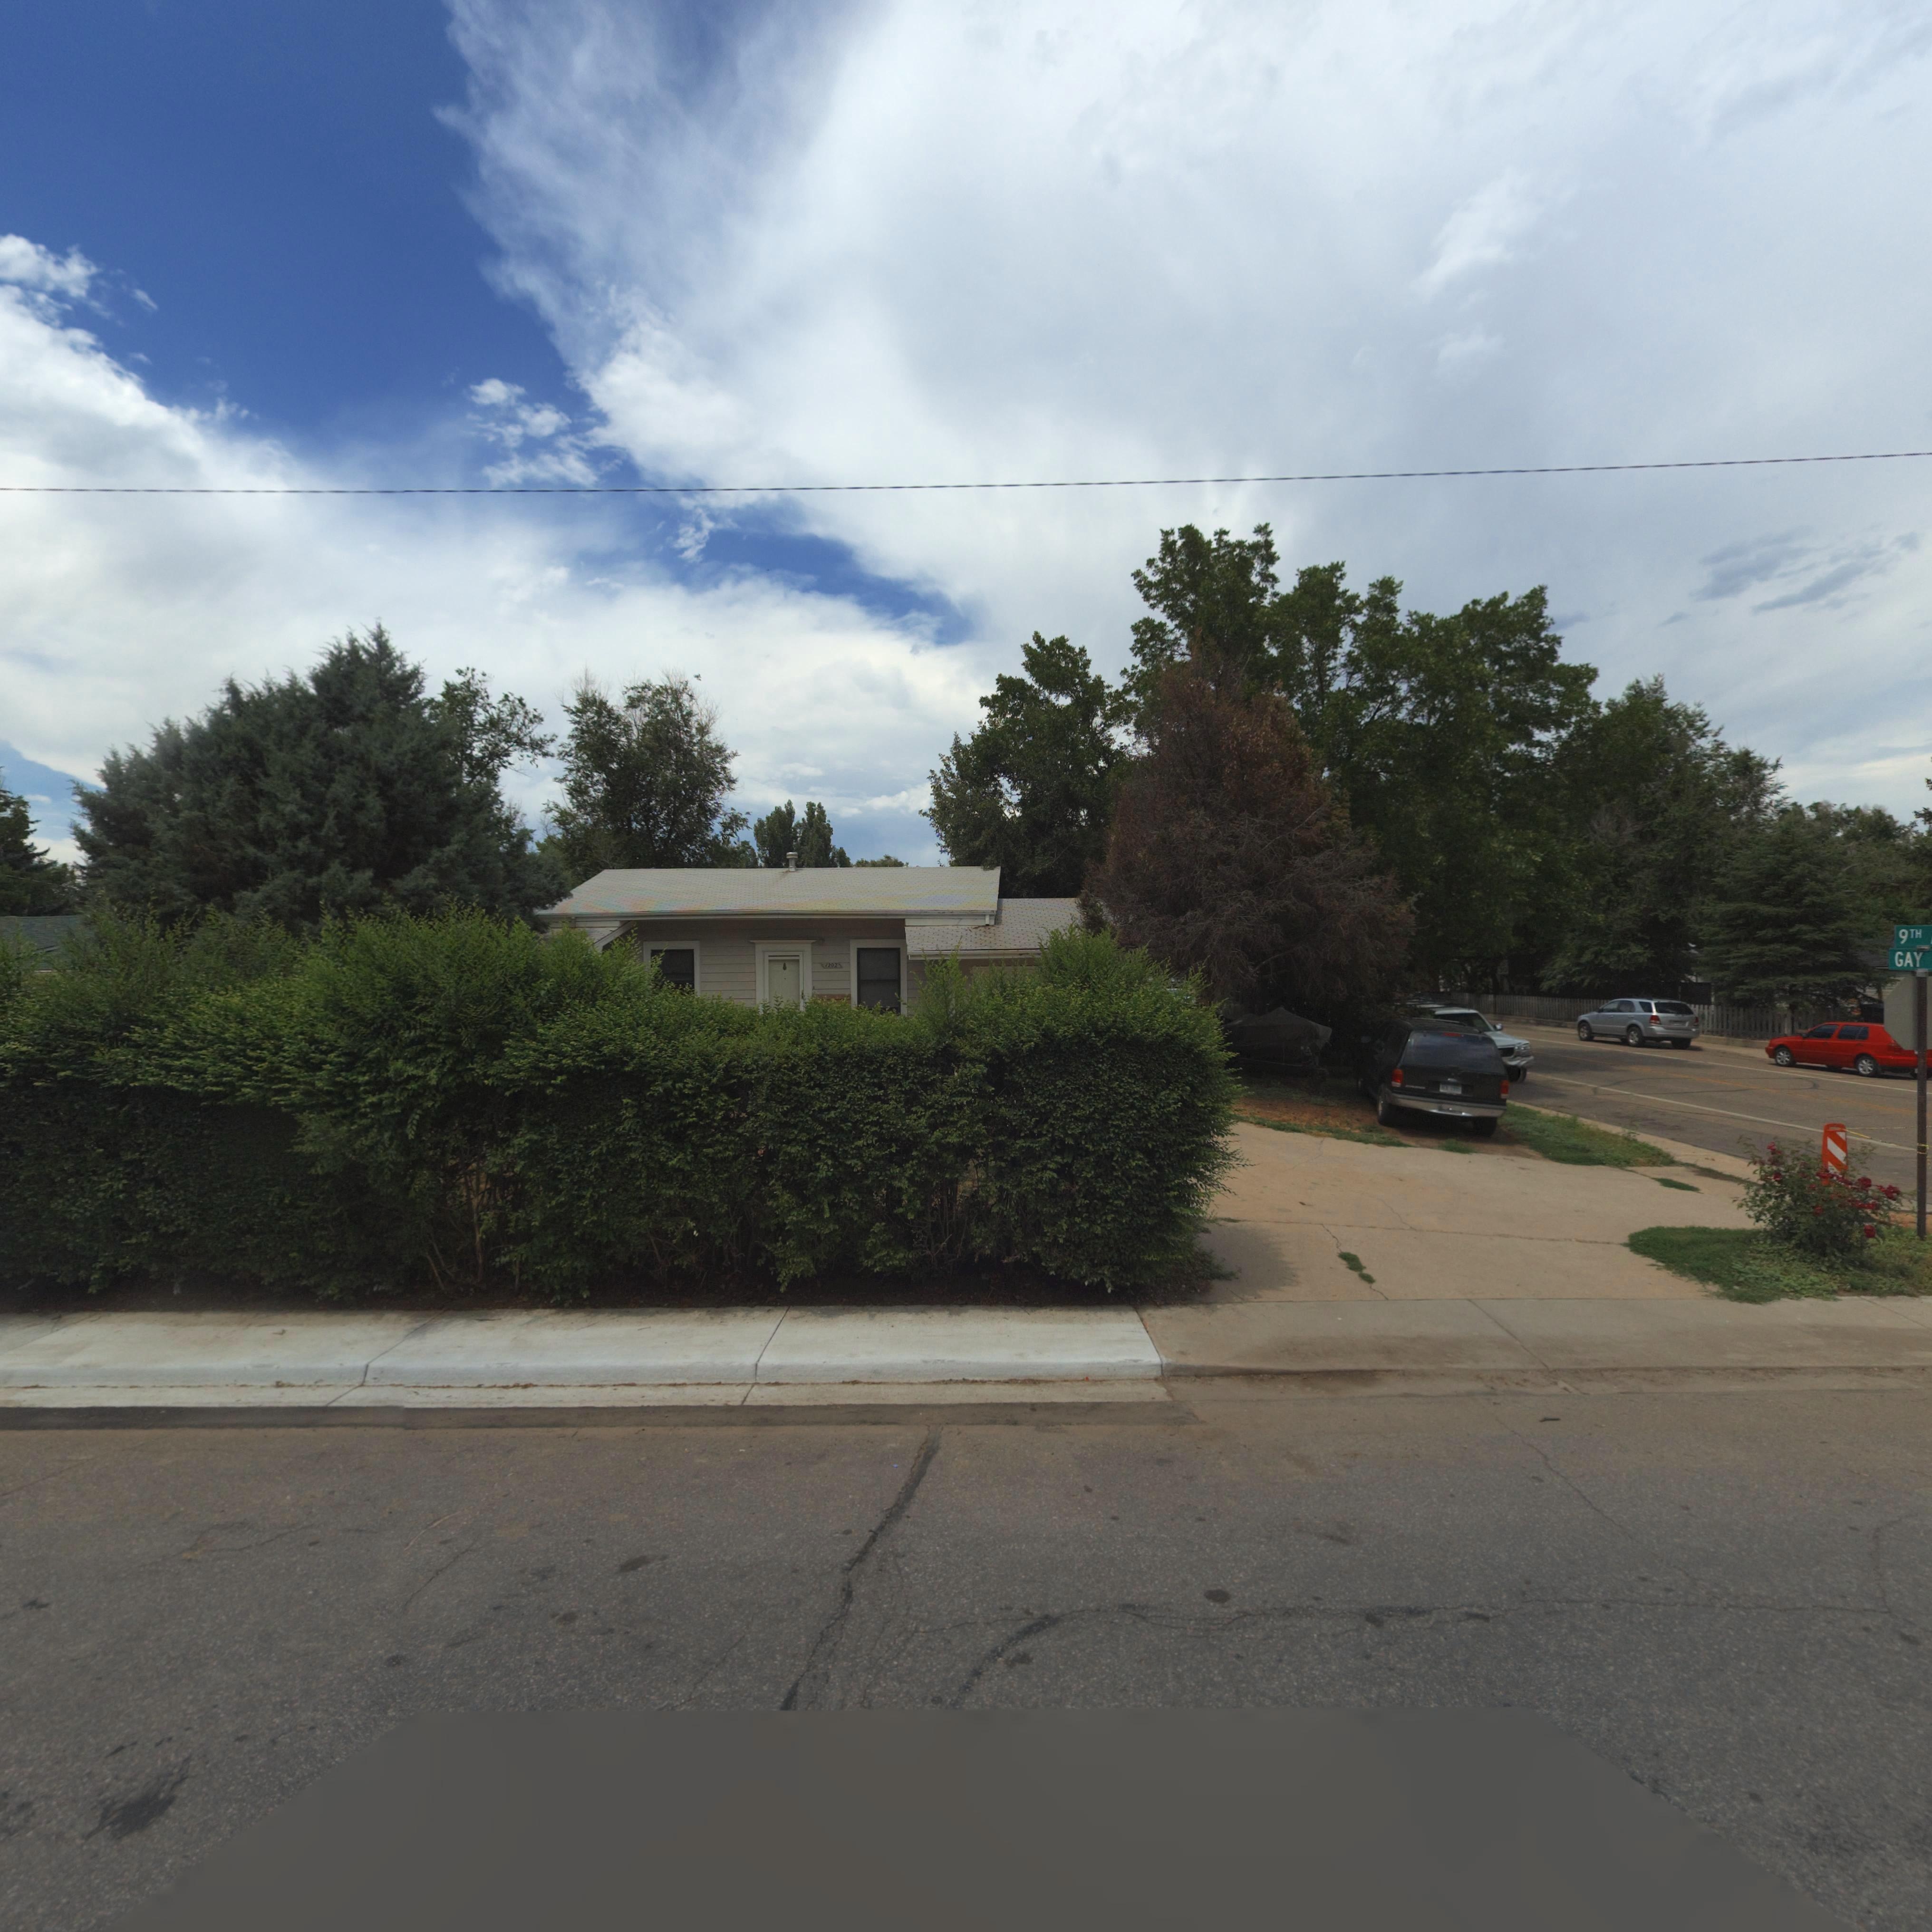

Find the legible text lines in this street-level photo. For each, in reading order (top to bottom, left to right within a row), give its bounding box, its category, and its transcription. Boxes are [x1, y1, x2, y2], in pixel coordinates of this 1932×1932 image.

[1898, 928, 1922, 945] StreetName: 9TH
[825, 963, 838, 967] StreetNumber: 1202
[1893, 950, 1923, 968] StreetName: GAY